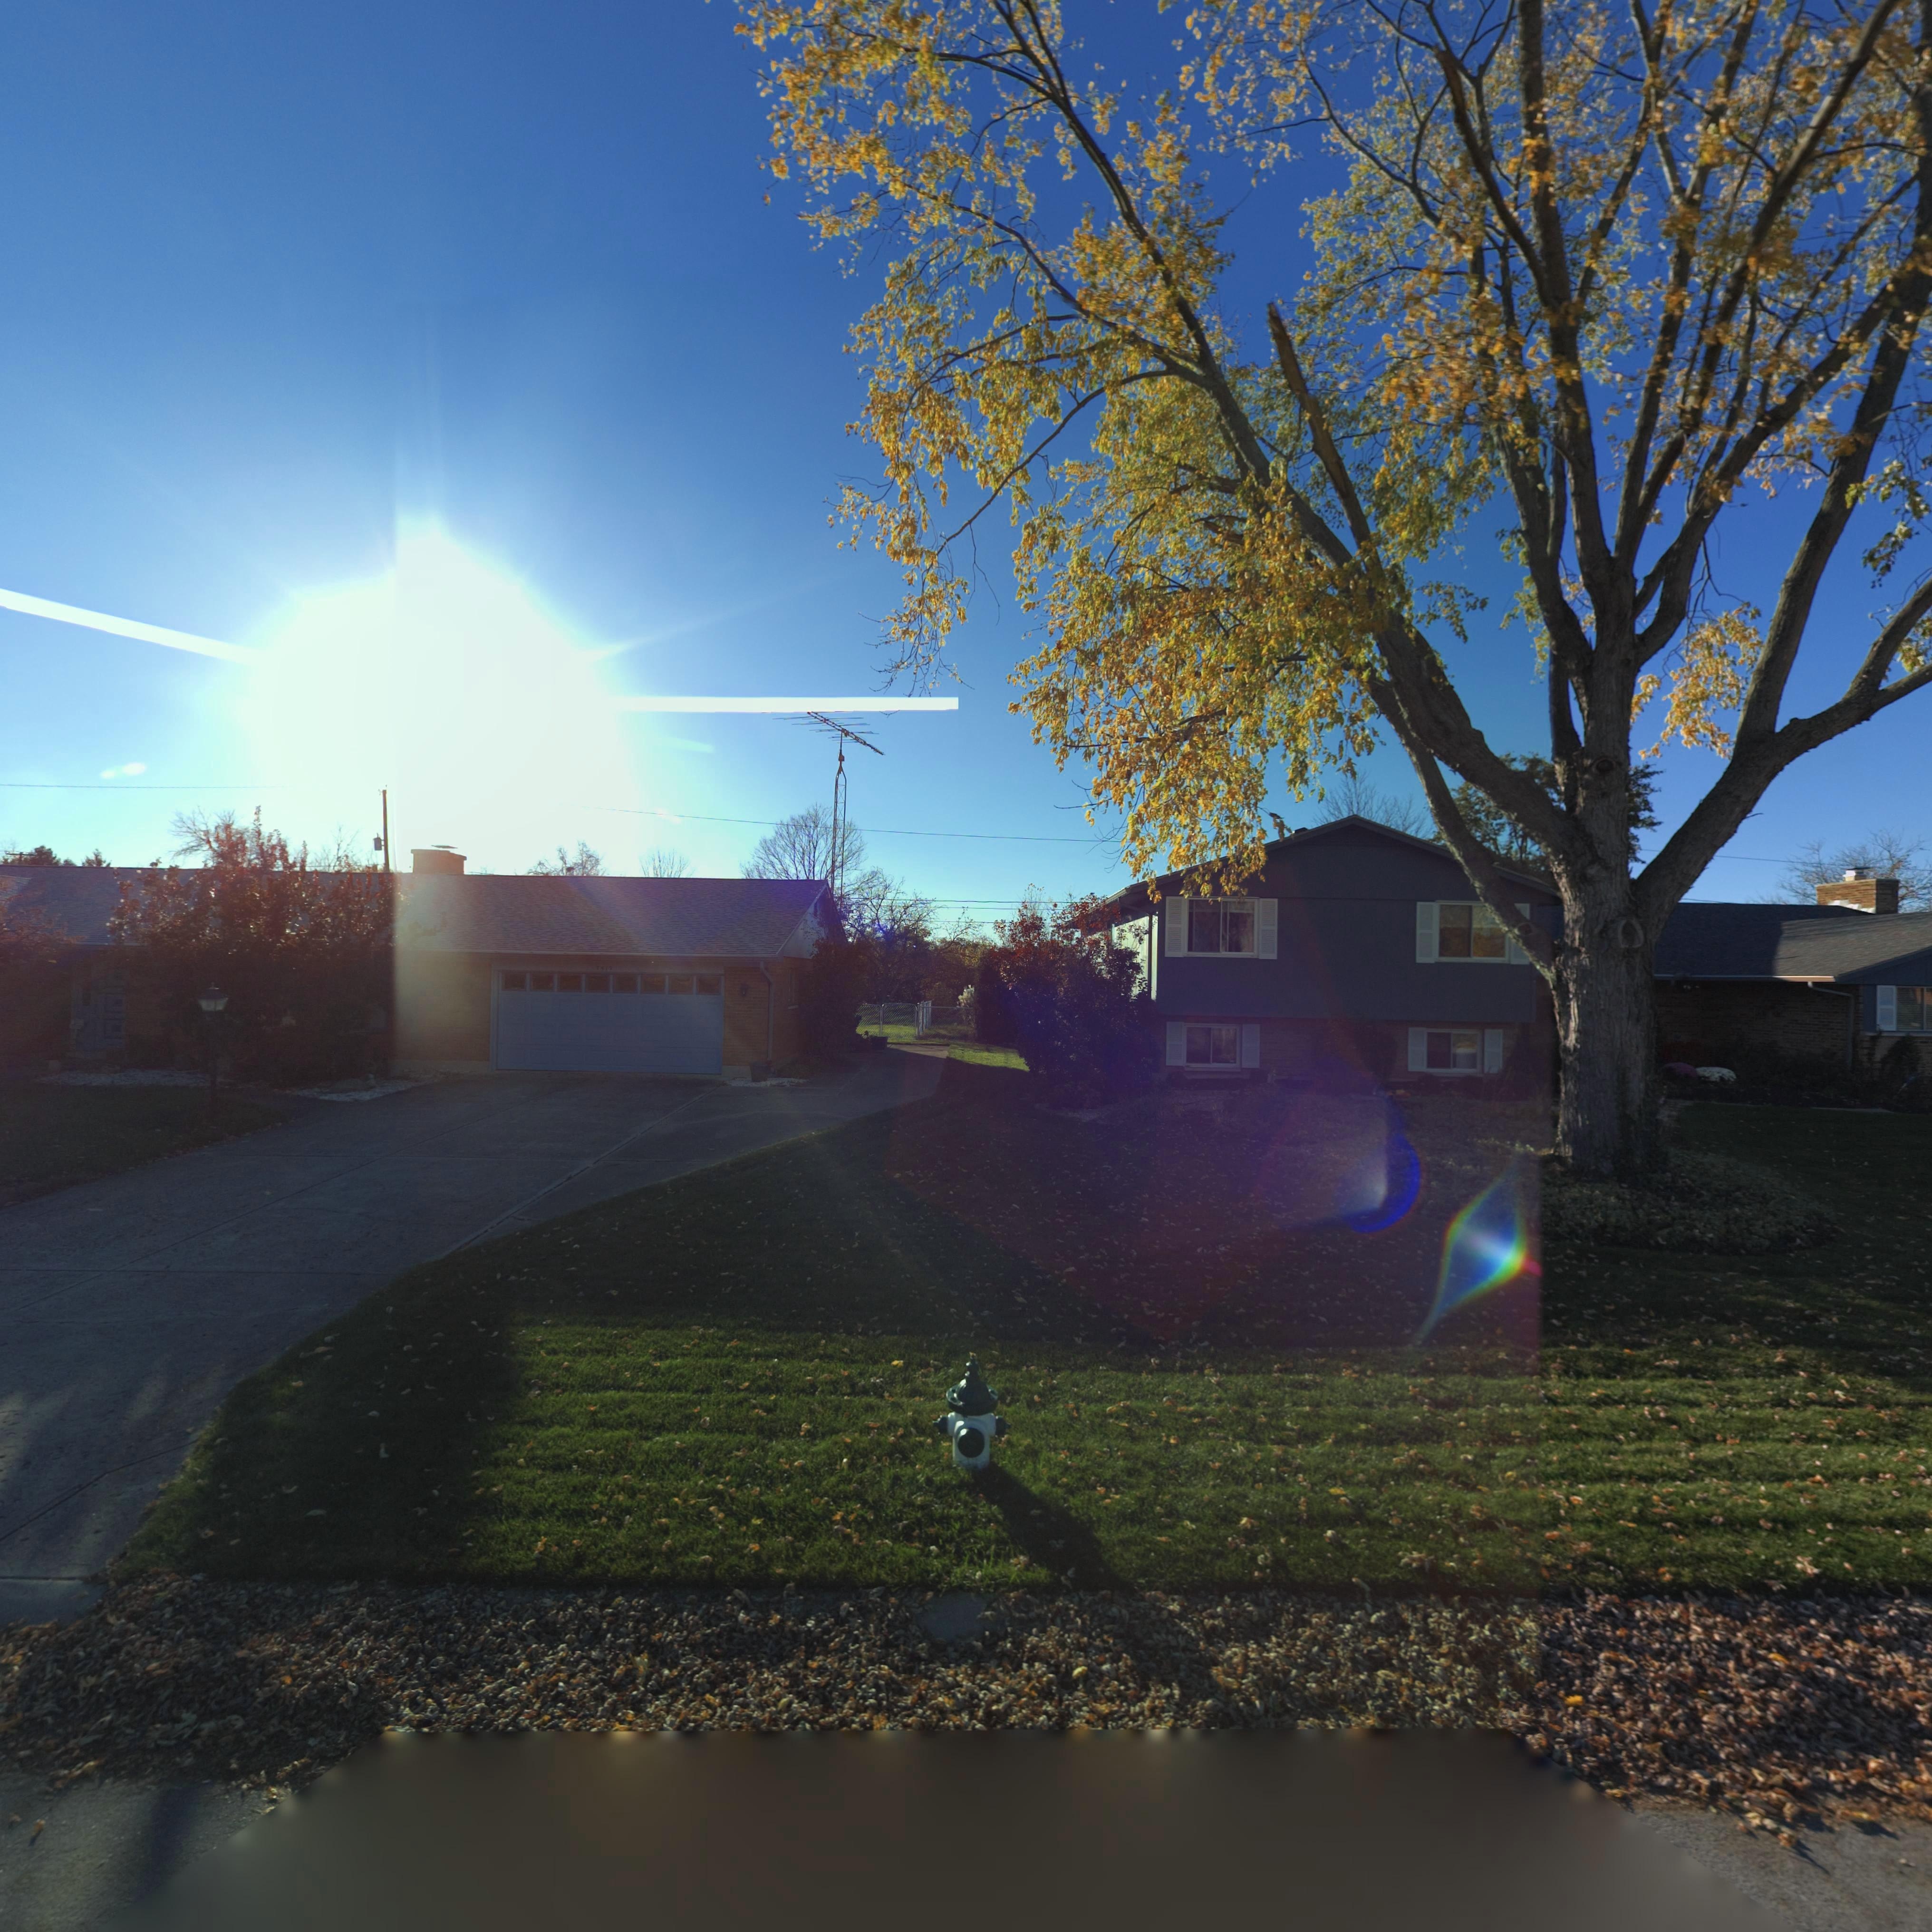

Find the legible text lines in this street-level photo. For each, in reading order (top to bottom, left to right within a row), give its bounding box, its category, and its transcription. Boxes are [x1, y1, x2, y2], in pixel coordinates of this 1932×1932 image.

[596, 965, 613, 971] StreetNumber: 7519